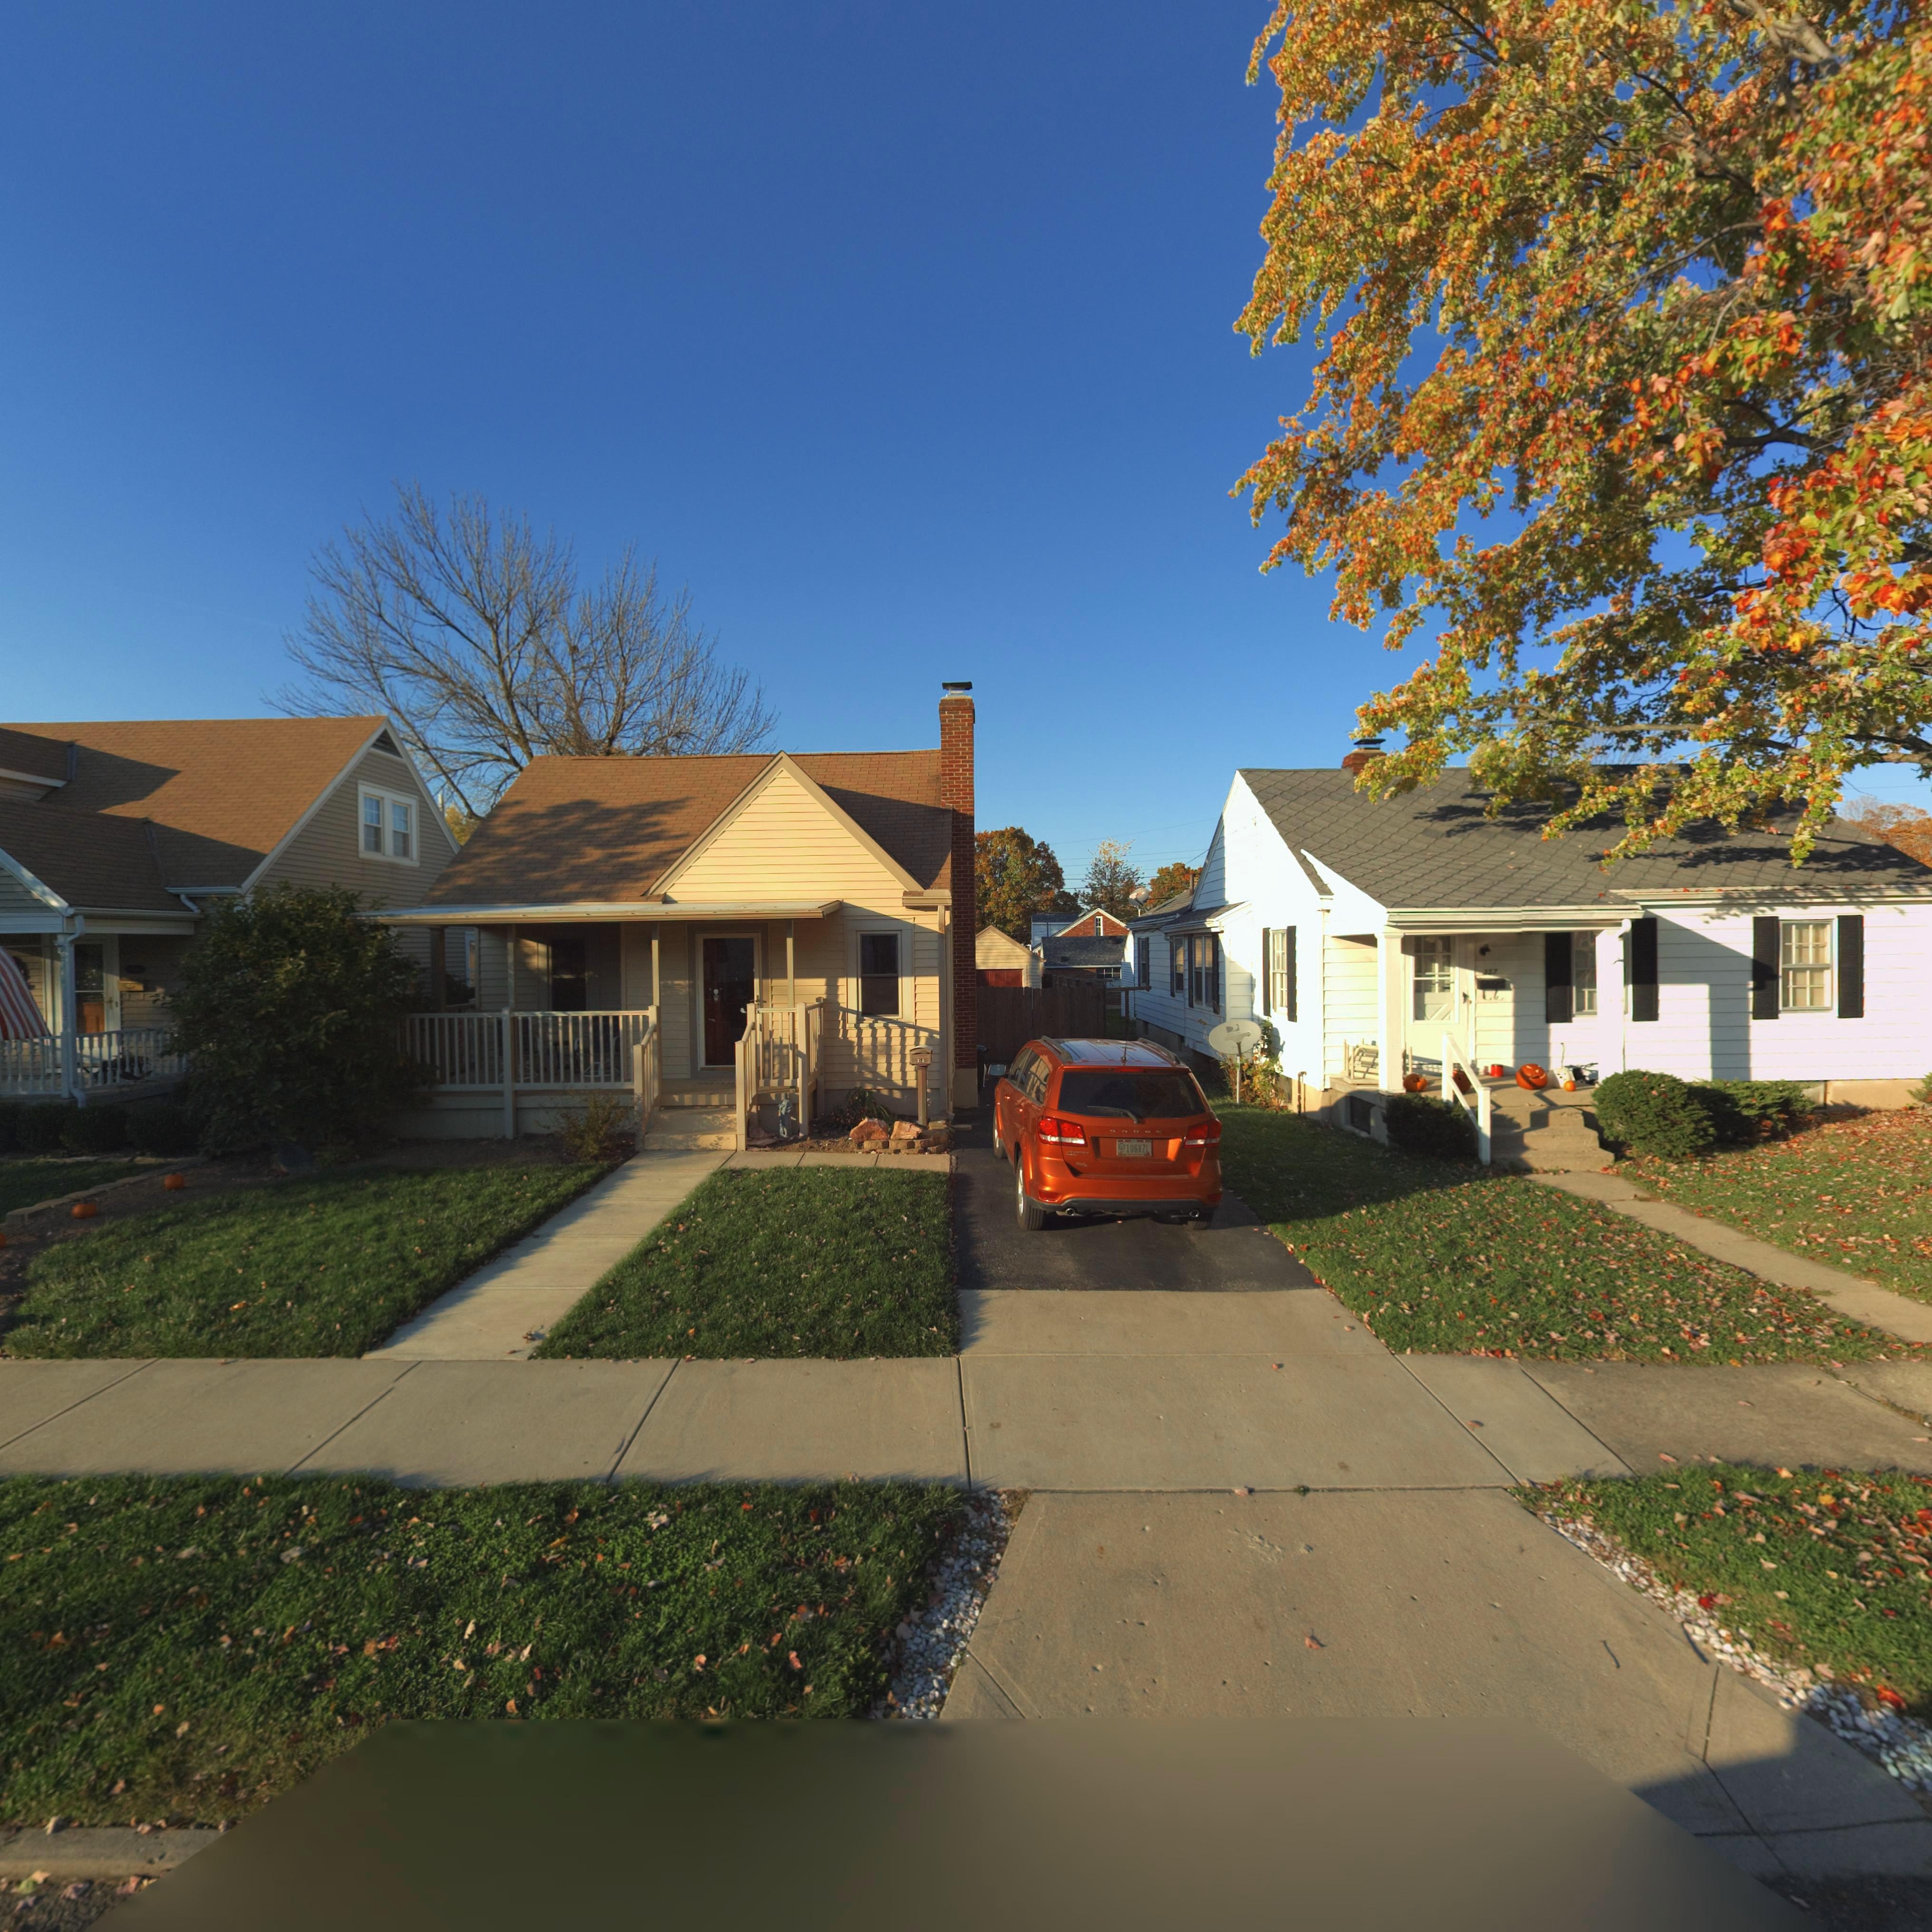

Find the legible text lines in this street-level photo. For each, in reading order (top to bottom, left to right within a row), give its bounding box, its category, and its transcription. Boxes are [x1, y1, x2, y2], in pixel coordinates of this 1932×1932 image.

[1482, 968, 1499, 976] StreetNumber: 357